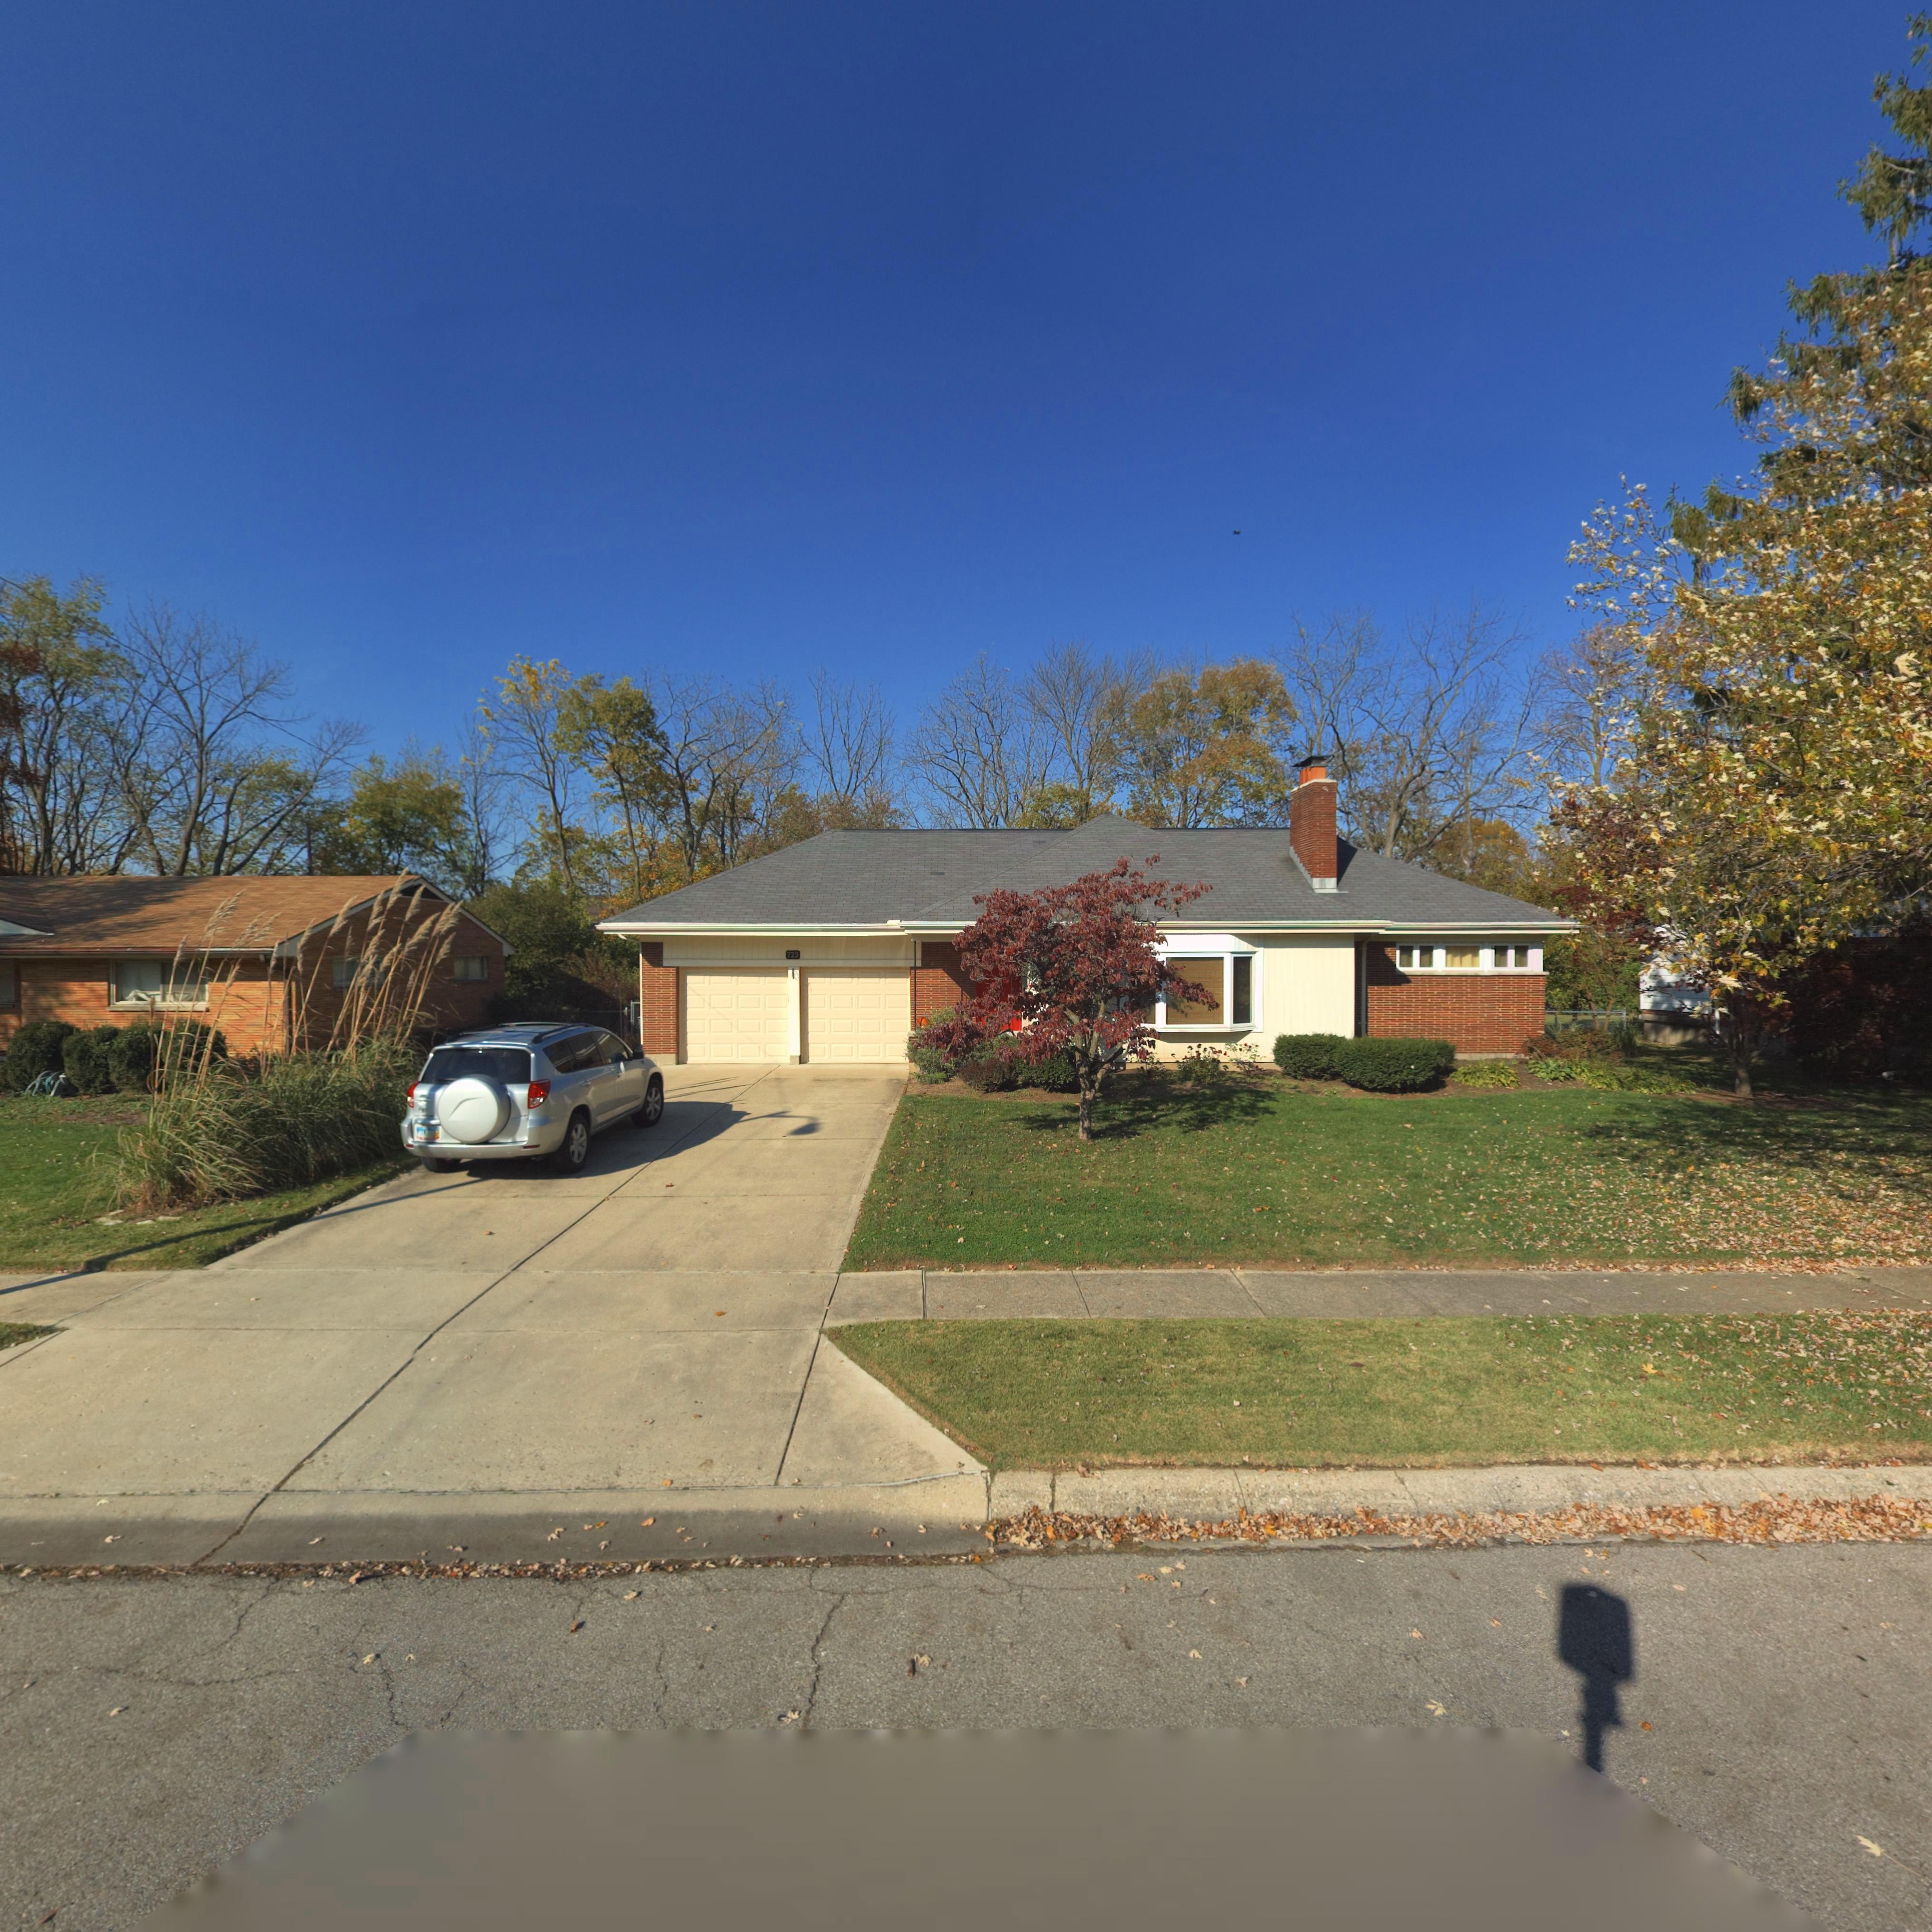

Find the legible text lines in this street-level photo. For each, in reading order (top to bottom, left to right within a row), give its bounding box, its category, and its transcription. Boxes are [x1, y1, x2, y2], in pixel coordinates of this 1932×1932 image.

[786, 951, 800, 960] StreetNumber: 723